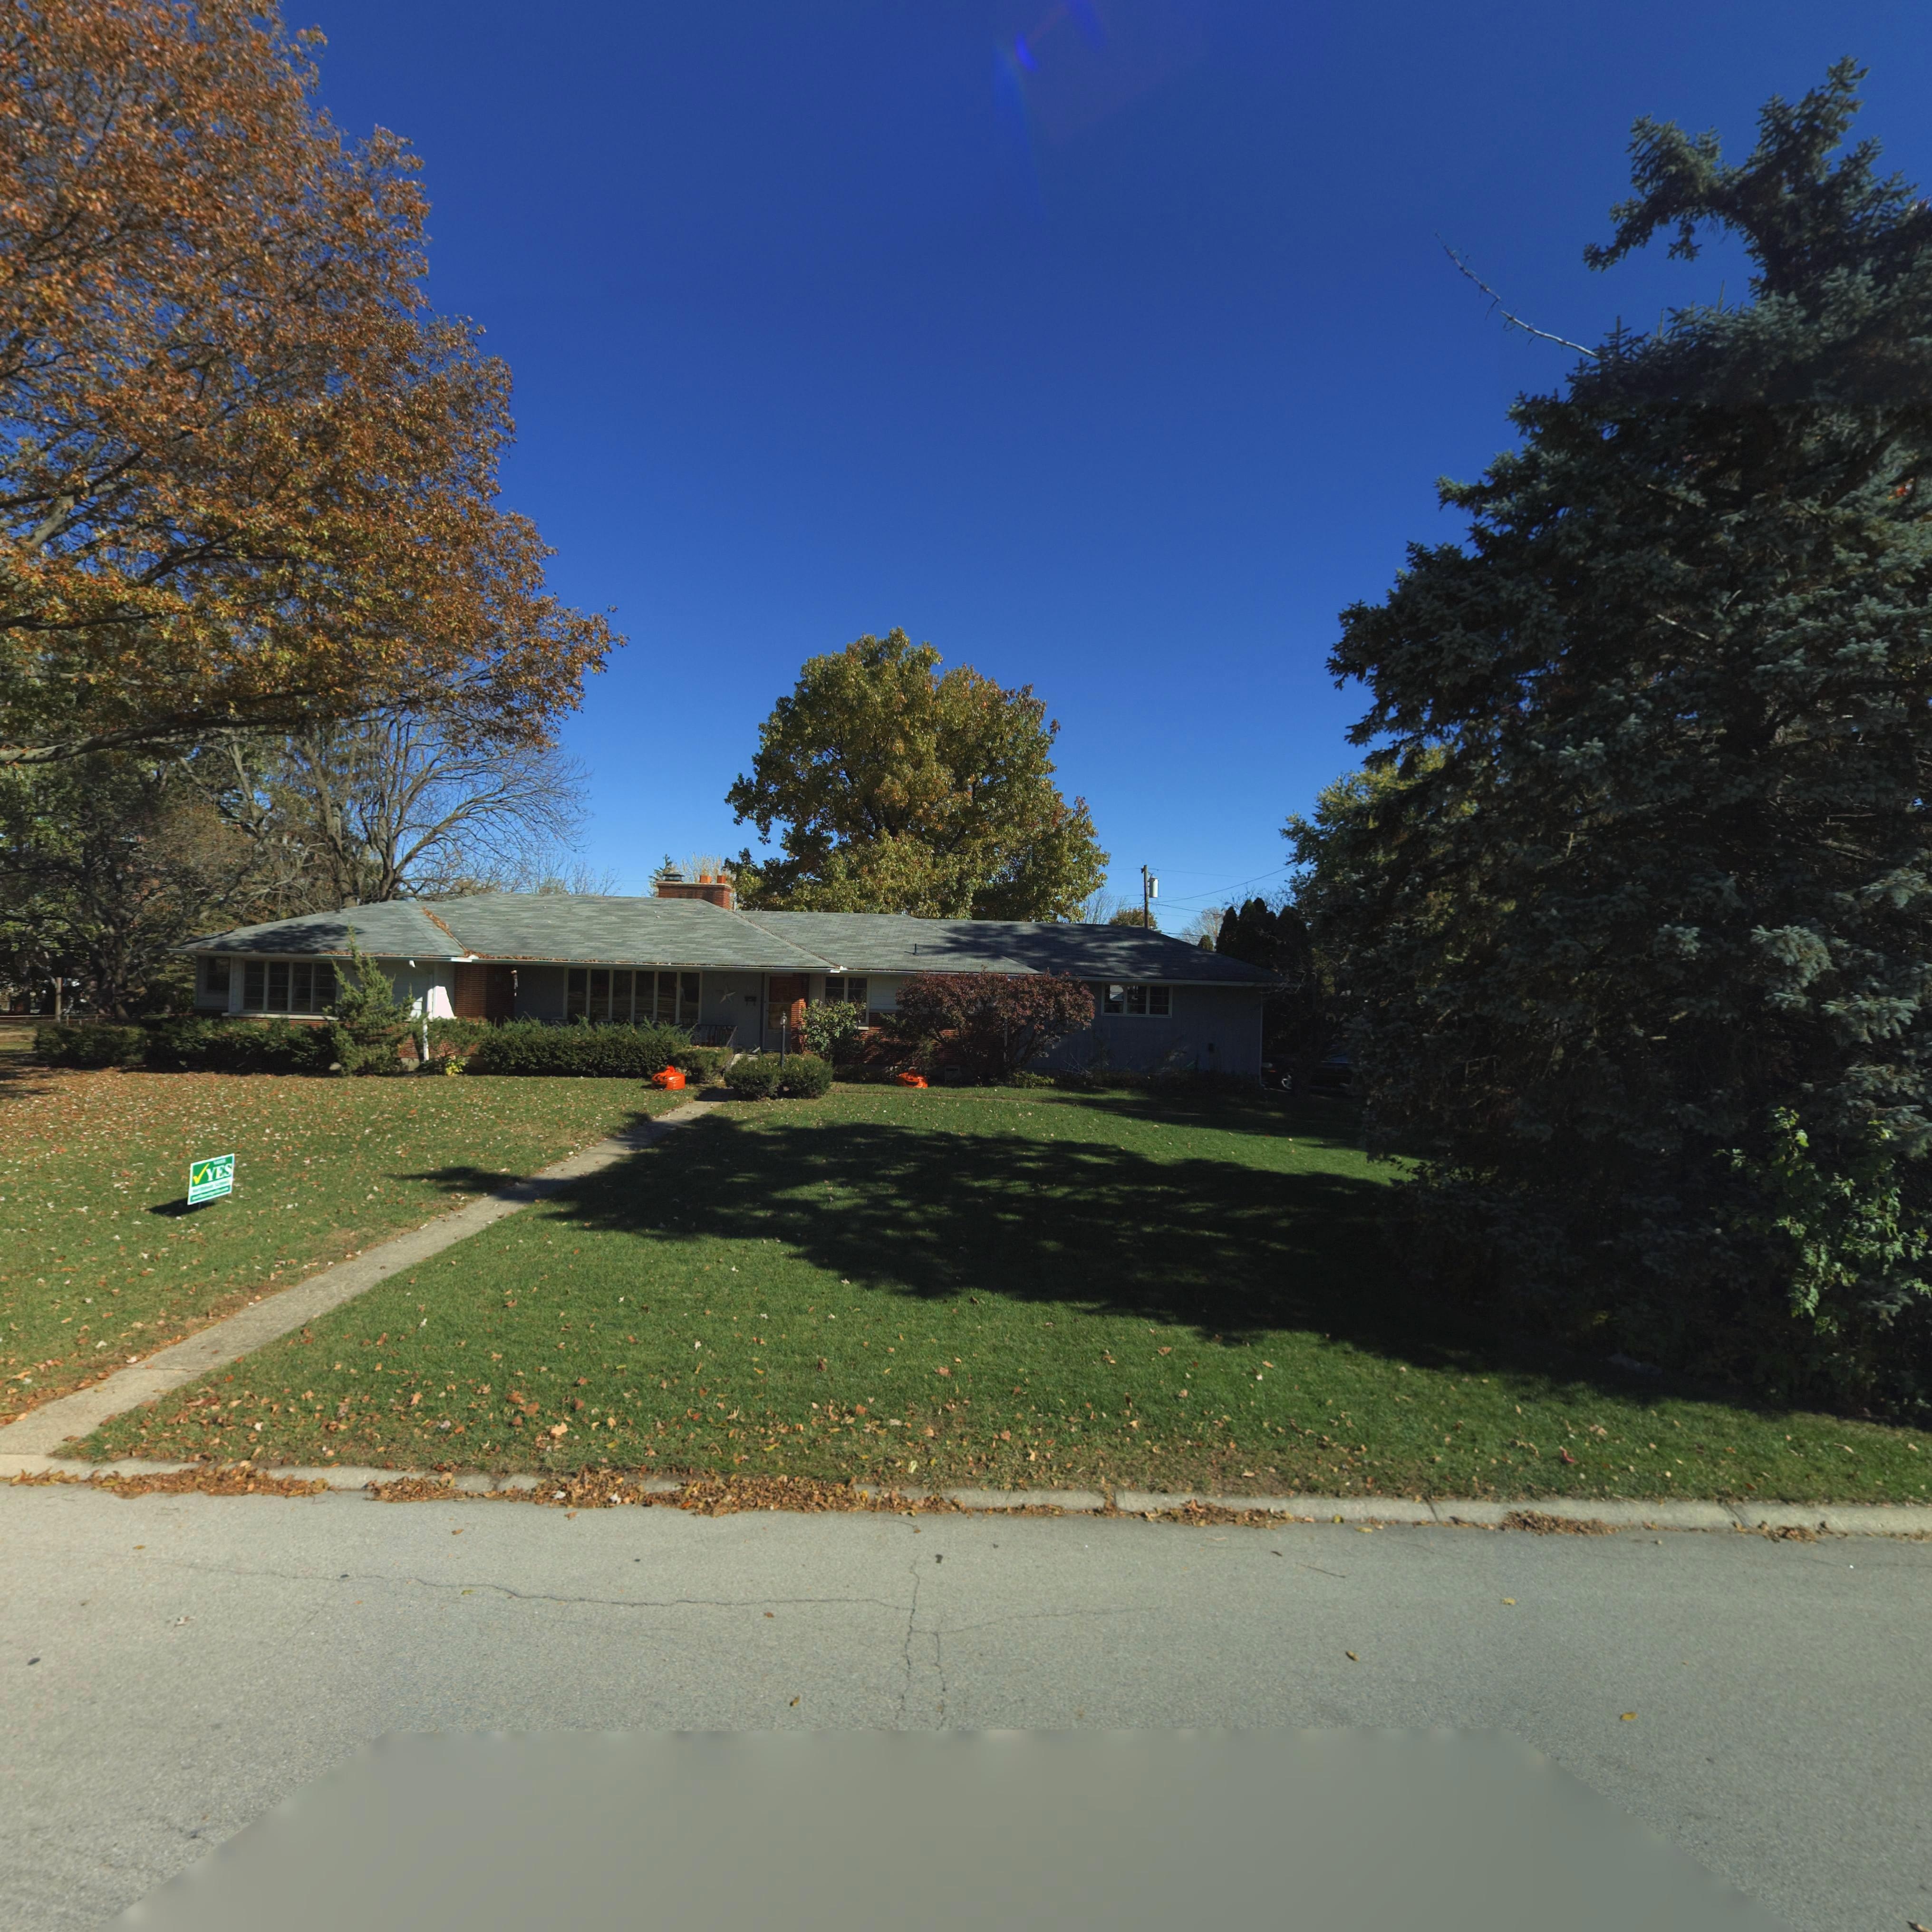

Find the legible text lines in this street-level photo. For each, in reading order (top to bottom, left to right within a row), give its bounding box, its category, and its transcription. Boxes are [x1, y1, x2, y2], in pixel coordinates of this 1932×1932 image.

[746, 986, 756, 991] StreetNumber: **2